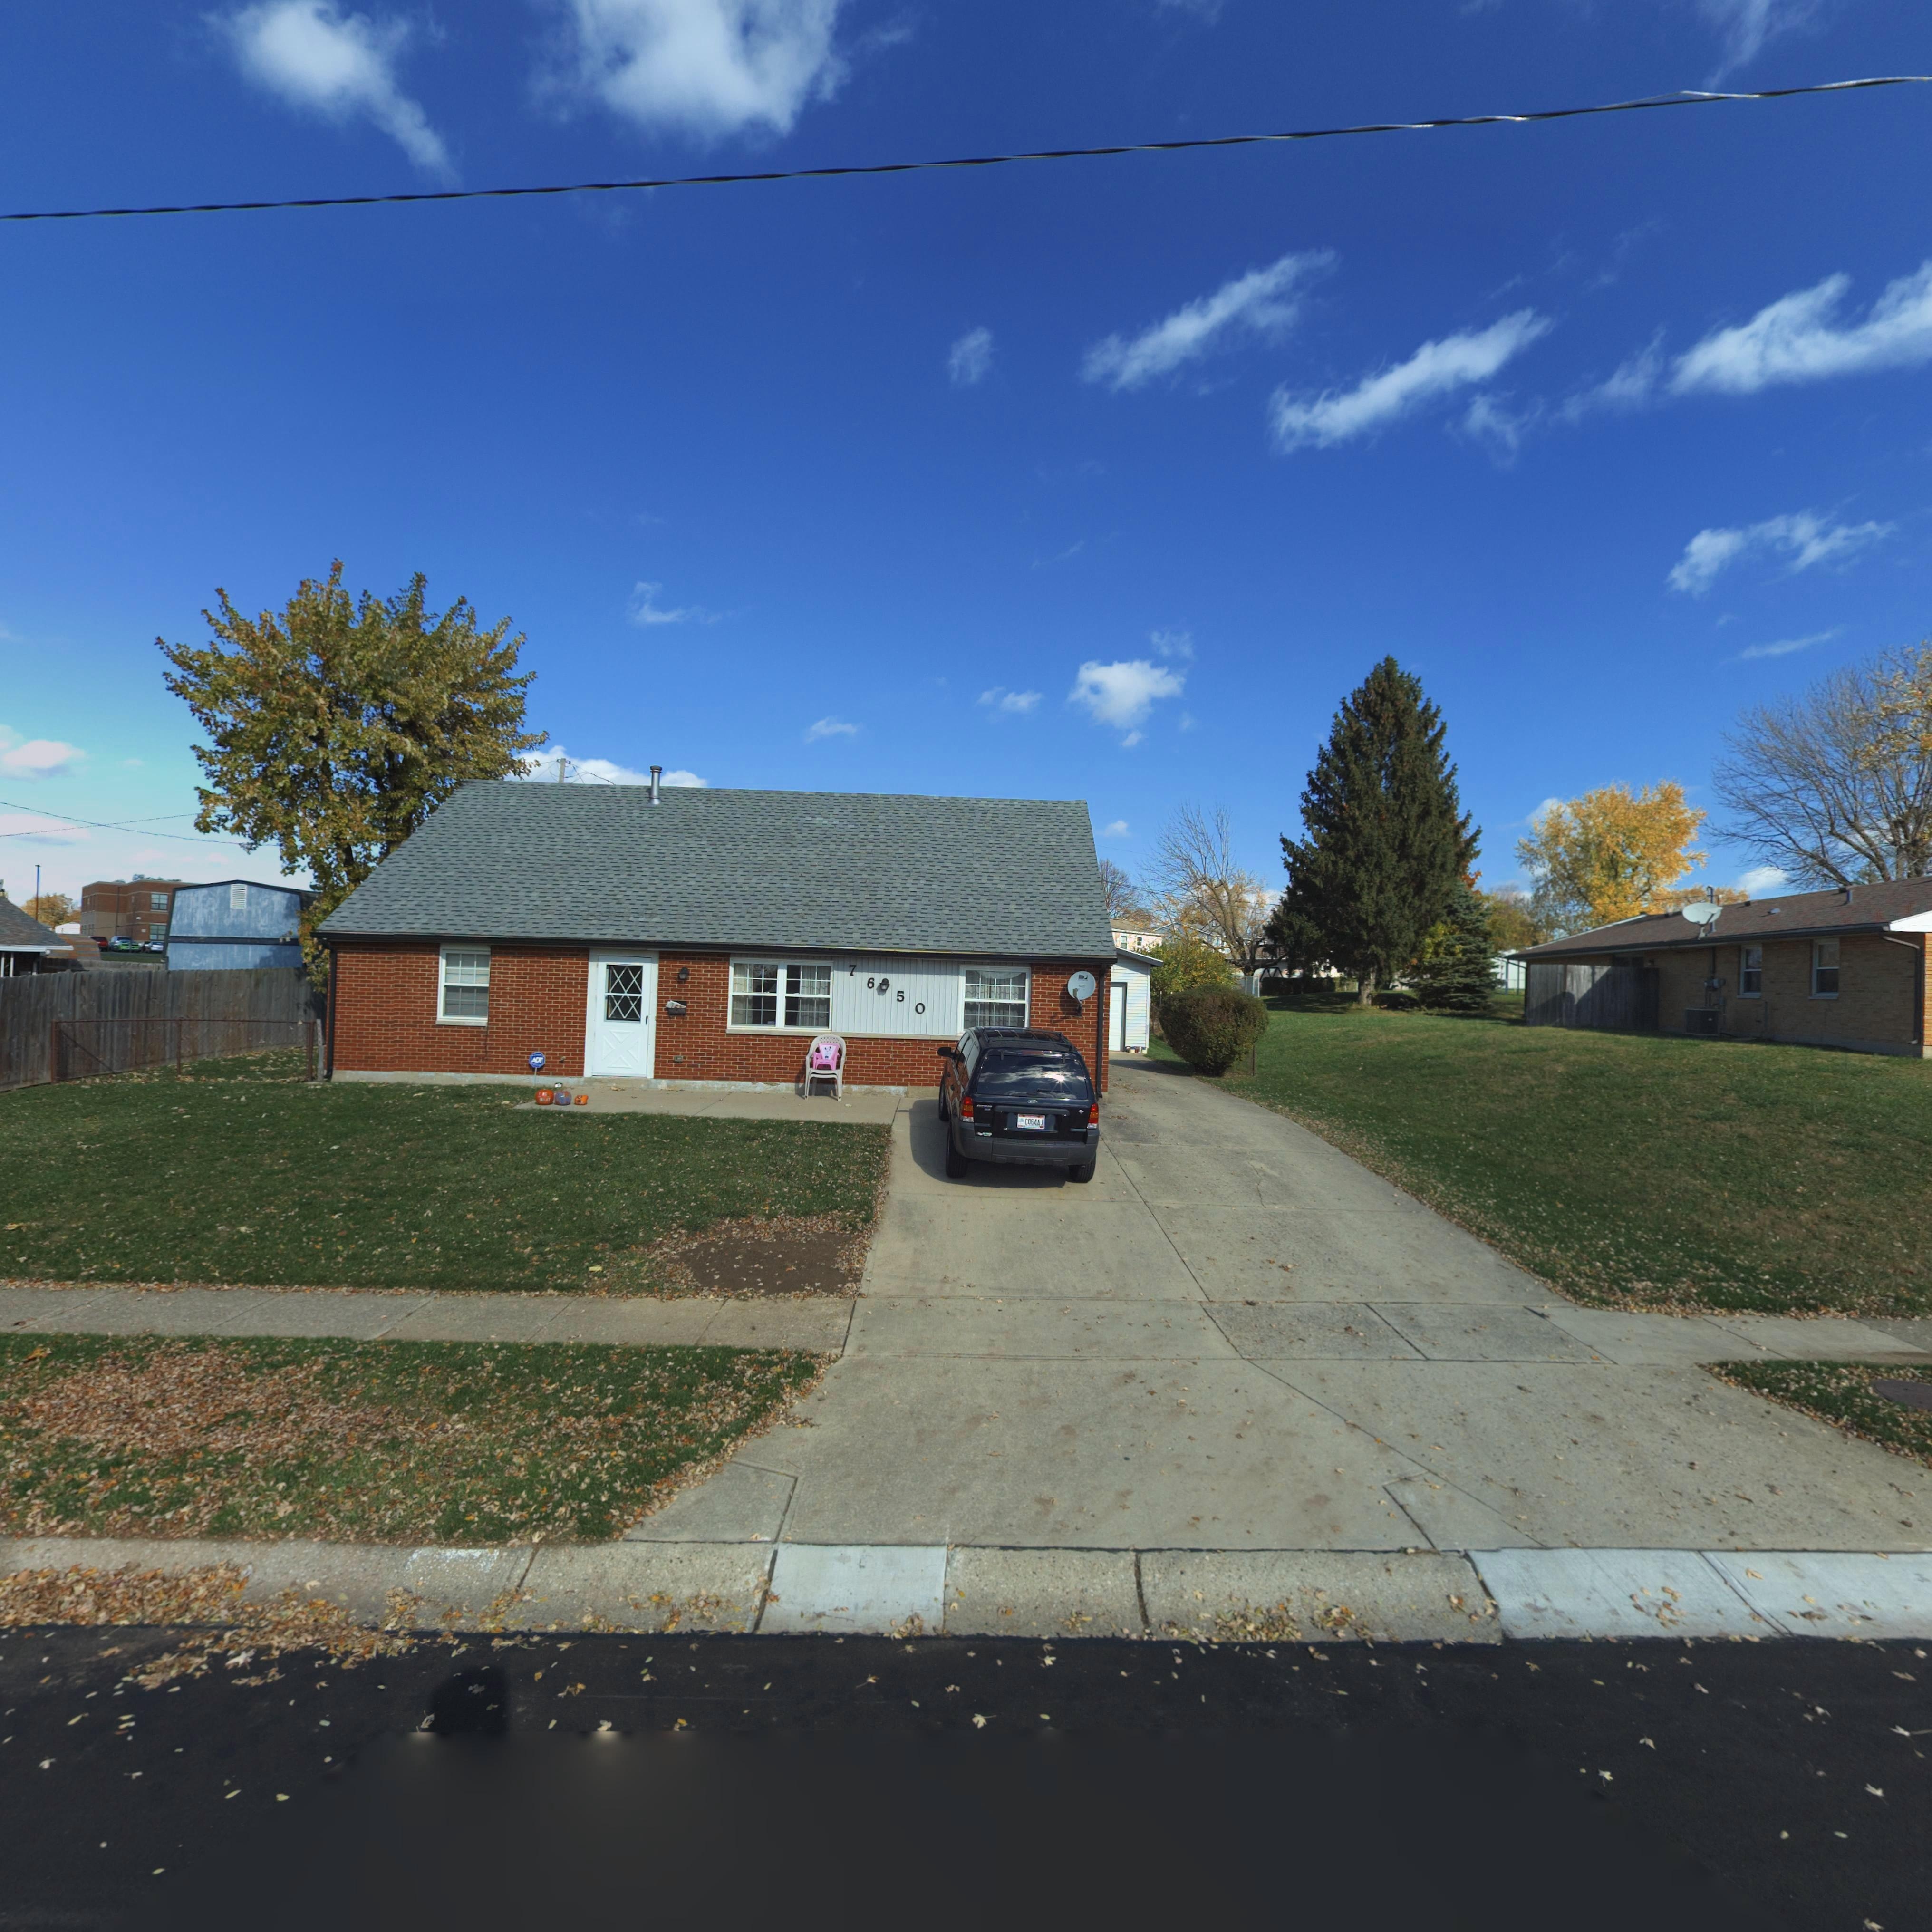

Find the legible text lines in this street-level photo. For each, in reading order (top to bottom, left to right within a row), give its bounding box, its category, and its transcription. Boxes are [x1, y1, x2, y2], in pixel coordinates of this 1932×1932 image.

[849, 964, 926, 1015] StreetNumber: 76*50